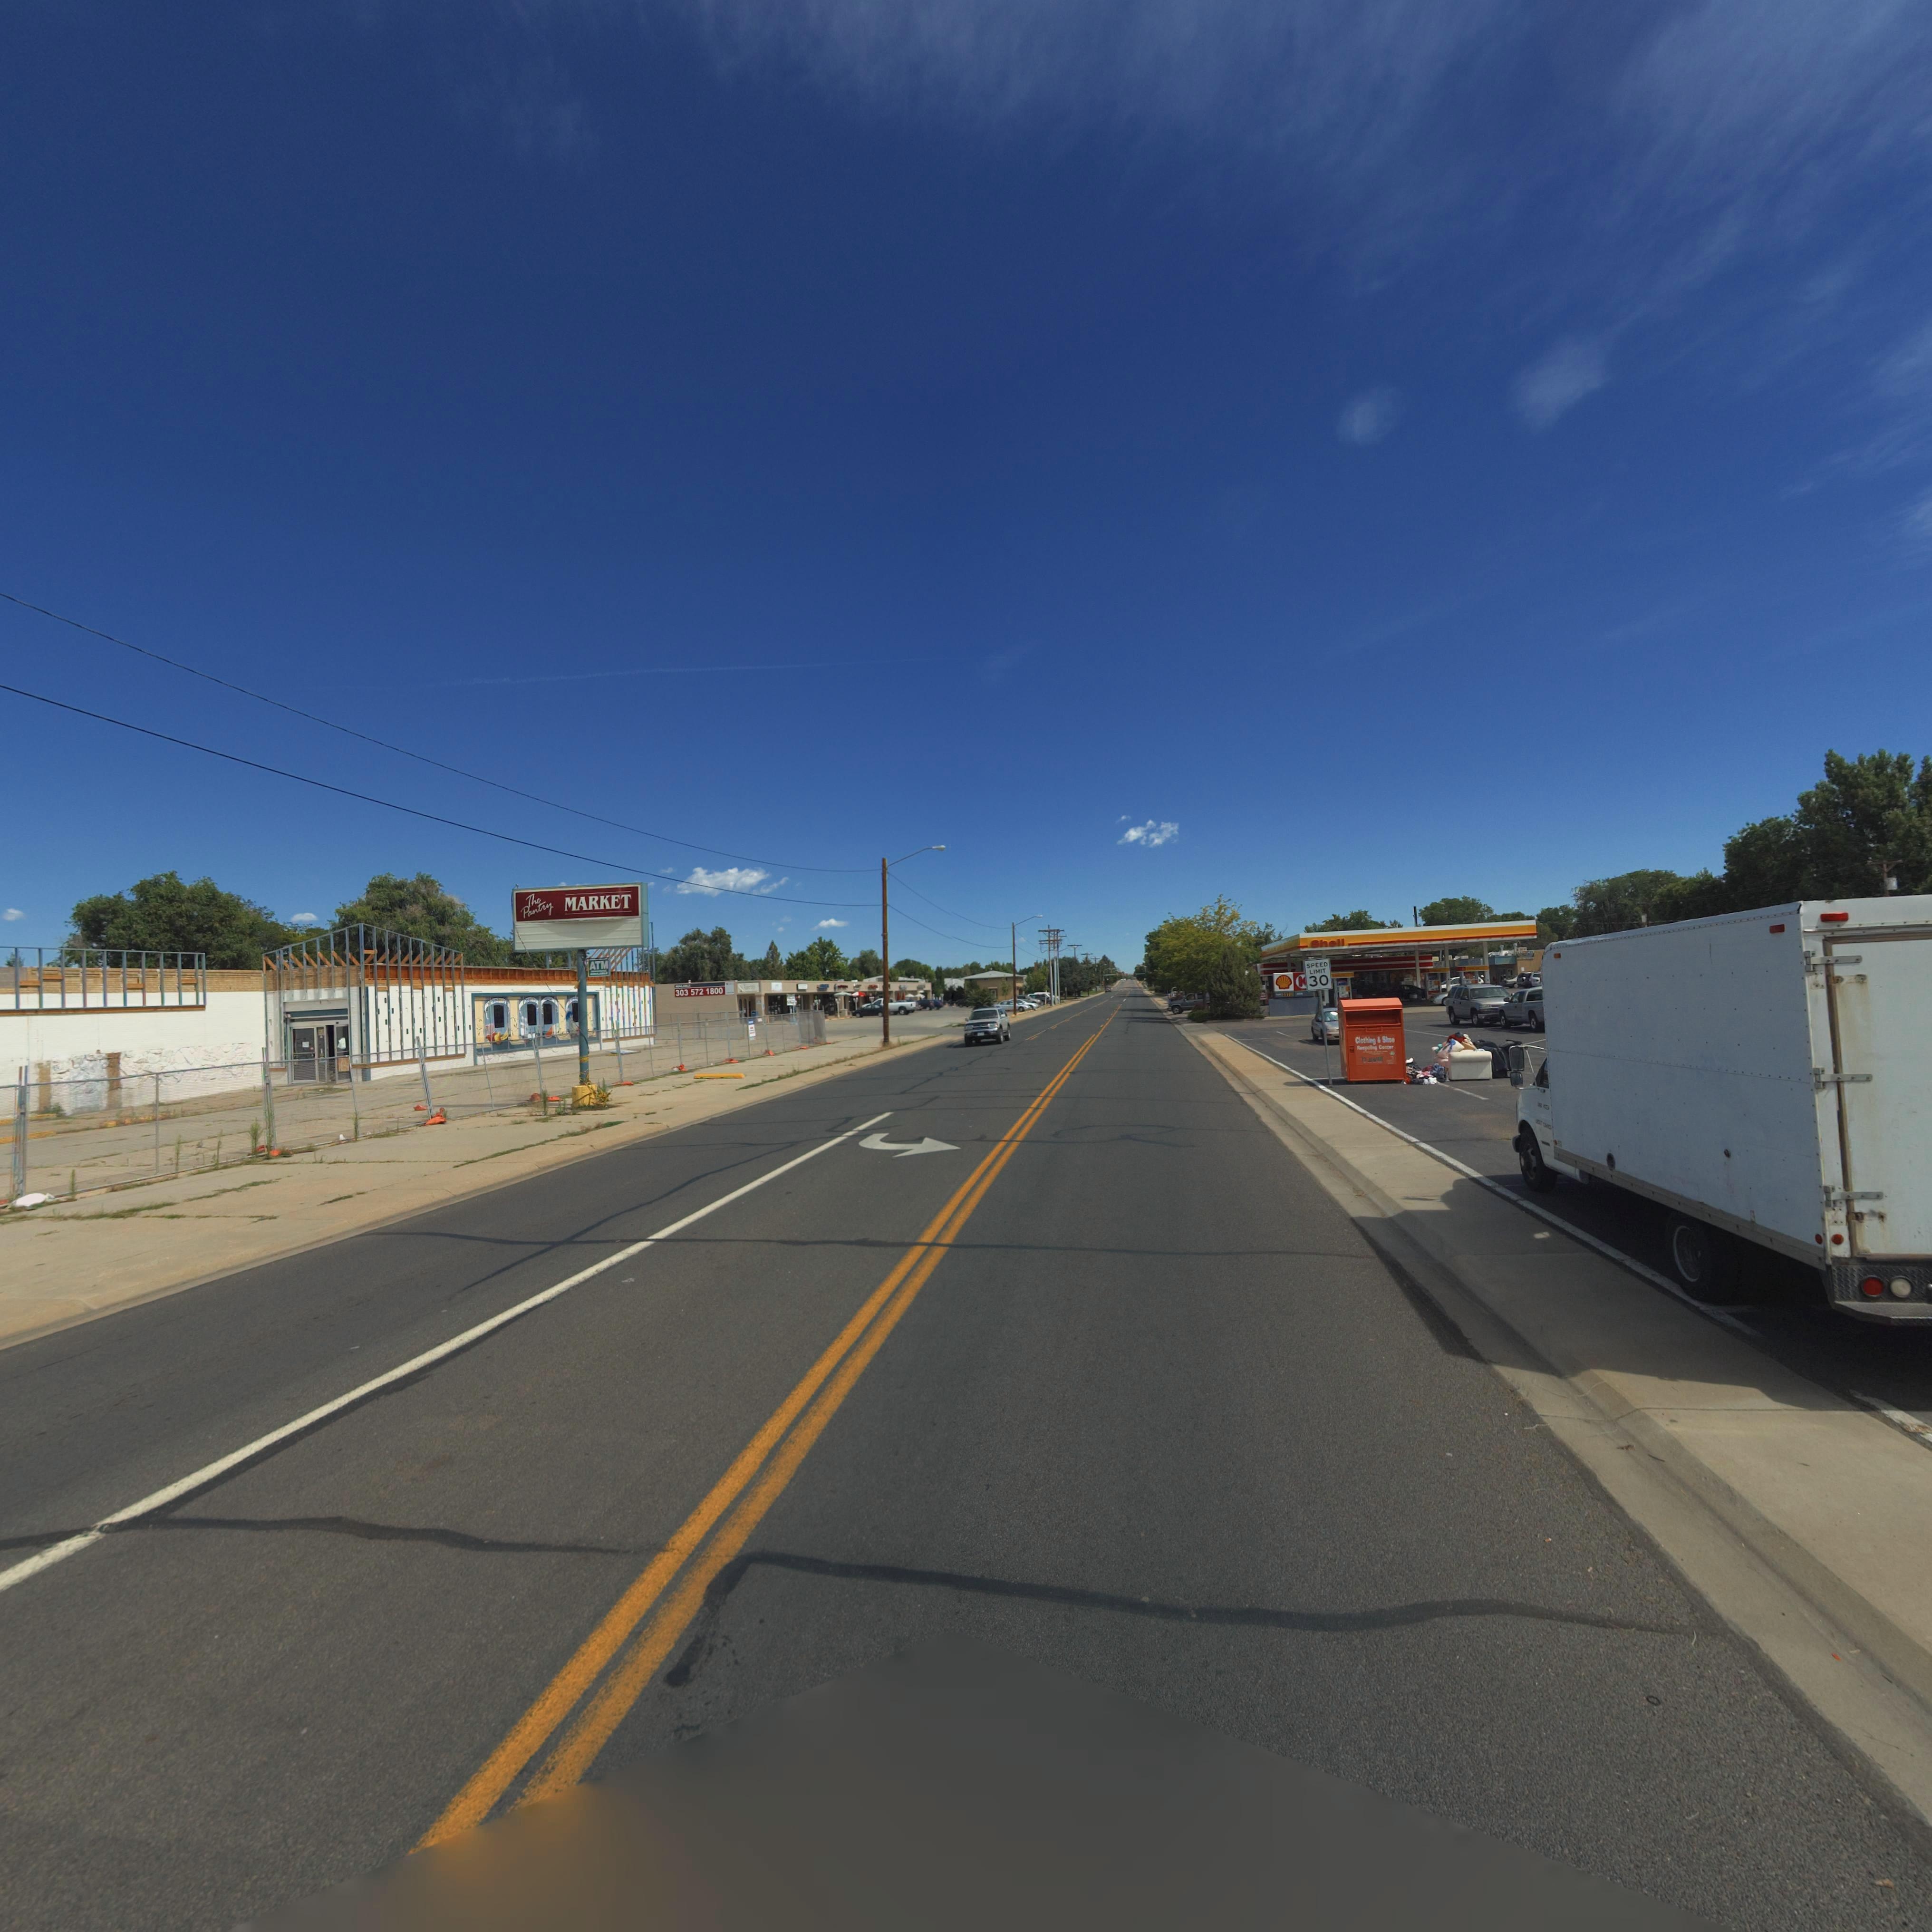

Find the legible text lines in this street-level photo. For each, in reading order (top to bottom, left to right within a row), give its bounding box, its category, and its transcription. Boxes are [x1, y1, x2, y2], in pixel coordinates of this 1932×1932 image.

[525, 893, 541, 908] BusinessName: The
[520, 901, 554, 918] BusinessName: Pantry
[564, 893, 632, 911] BusinessName: MARKET
[1310, 937, 1345, 948] BusinessName: Shell